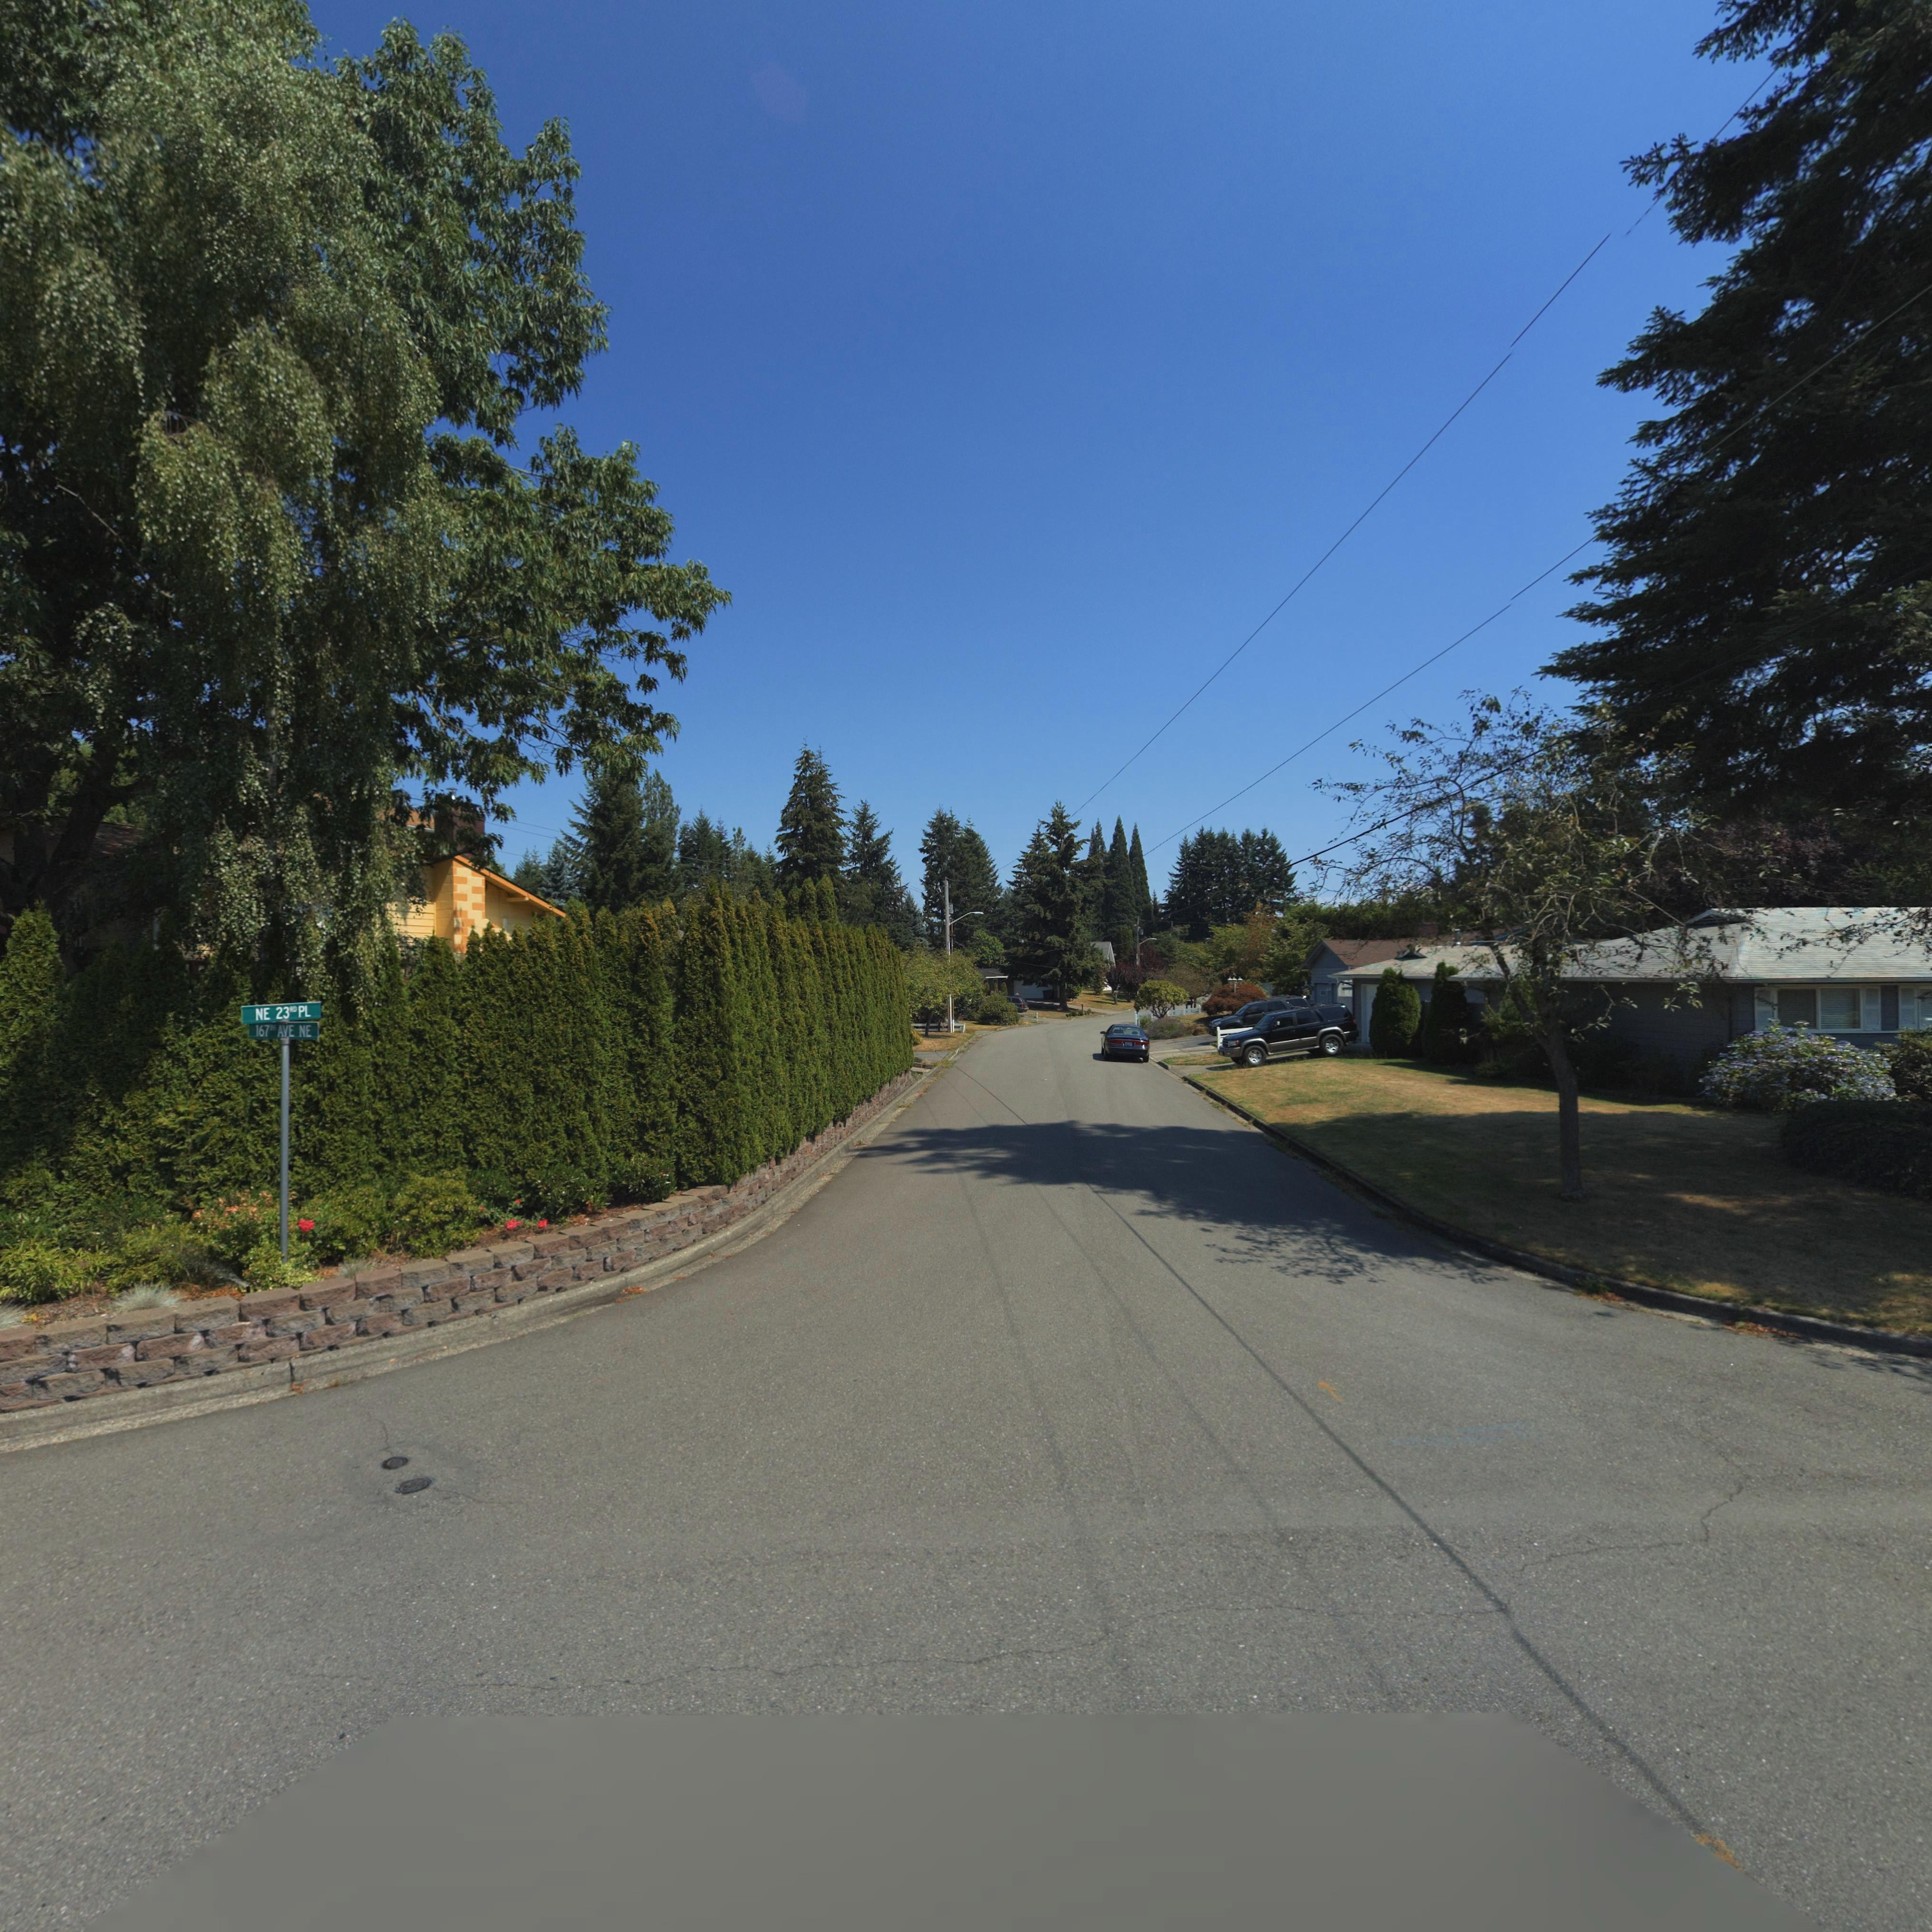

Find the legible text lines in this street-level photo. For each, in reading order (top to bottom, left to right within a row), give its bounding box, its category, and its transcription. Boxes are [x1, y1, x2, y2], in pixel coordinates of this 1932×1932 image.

[255, 1005, 311, 1020] StreetName: NE 23*D PL
[256, 1024, 312, 1037] StreetName: 167** AVE NE